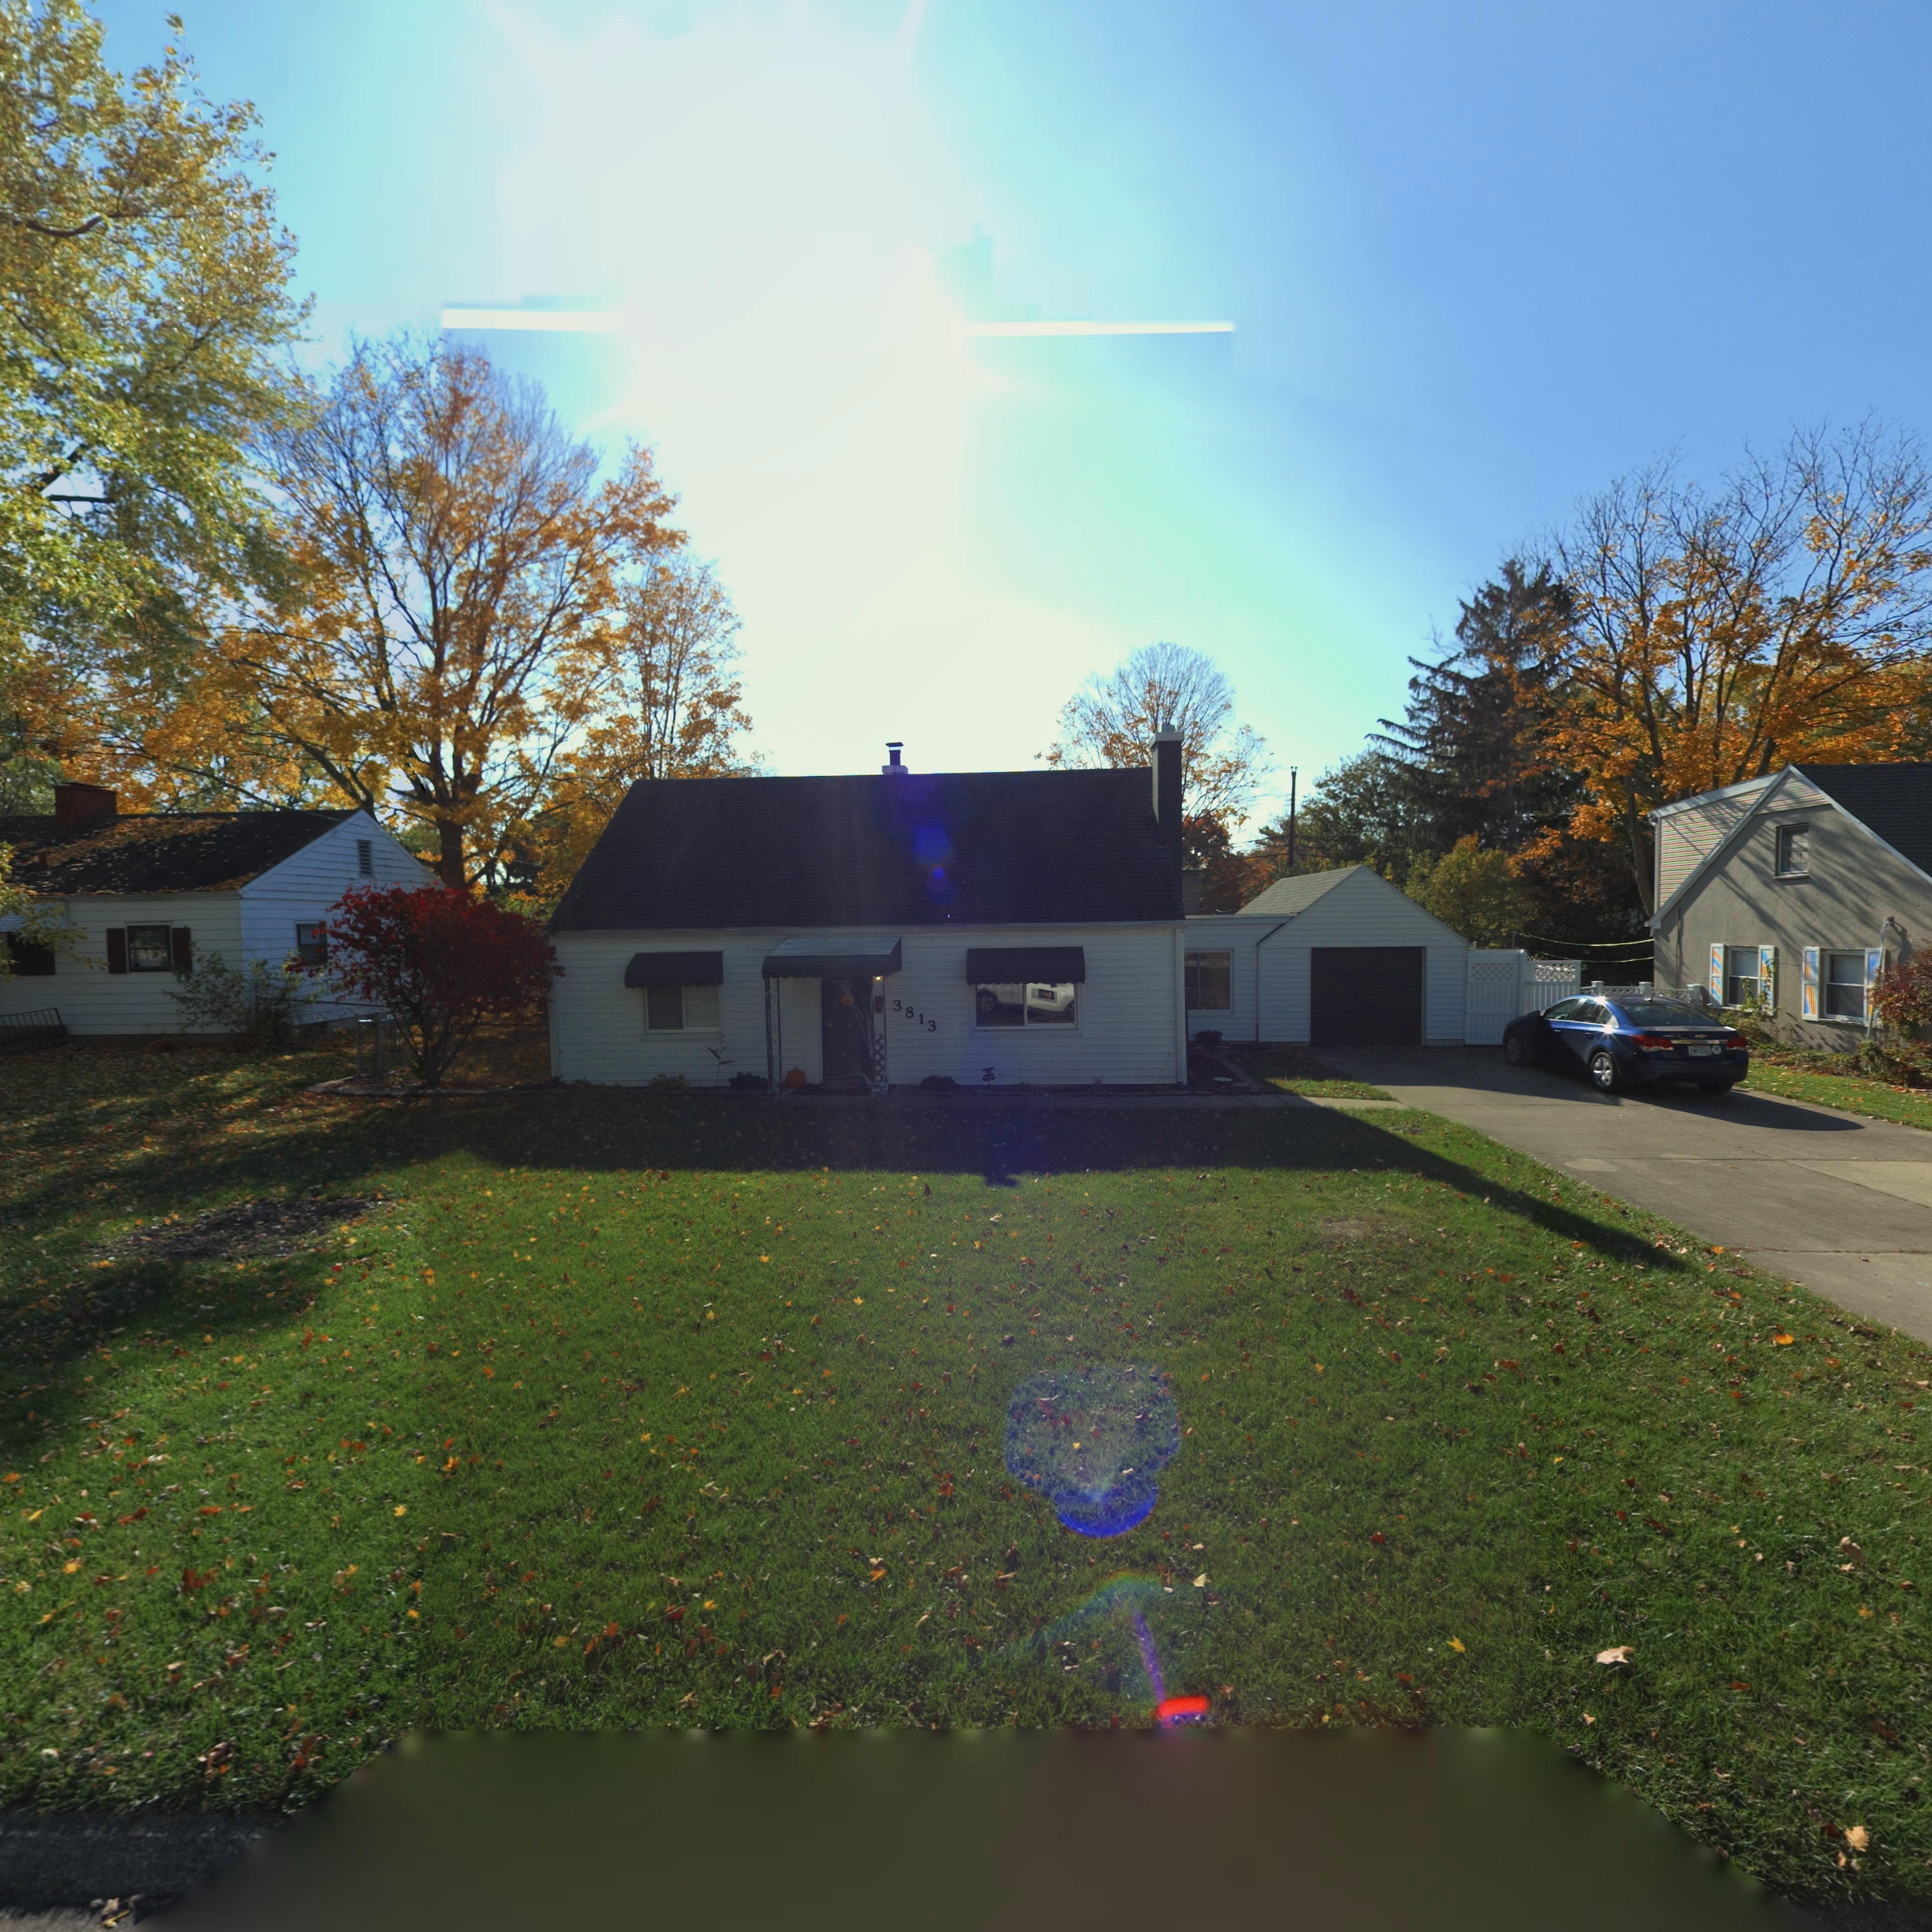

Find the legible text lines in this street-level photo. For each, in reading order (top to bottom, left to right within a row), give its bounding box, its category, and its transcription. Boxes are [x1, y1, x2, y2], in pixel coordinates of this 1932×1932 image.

[892, 998, 937, 1033] StreetNumber: 3813